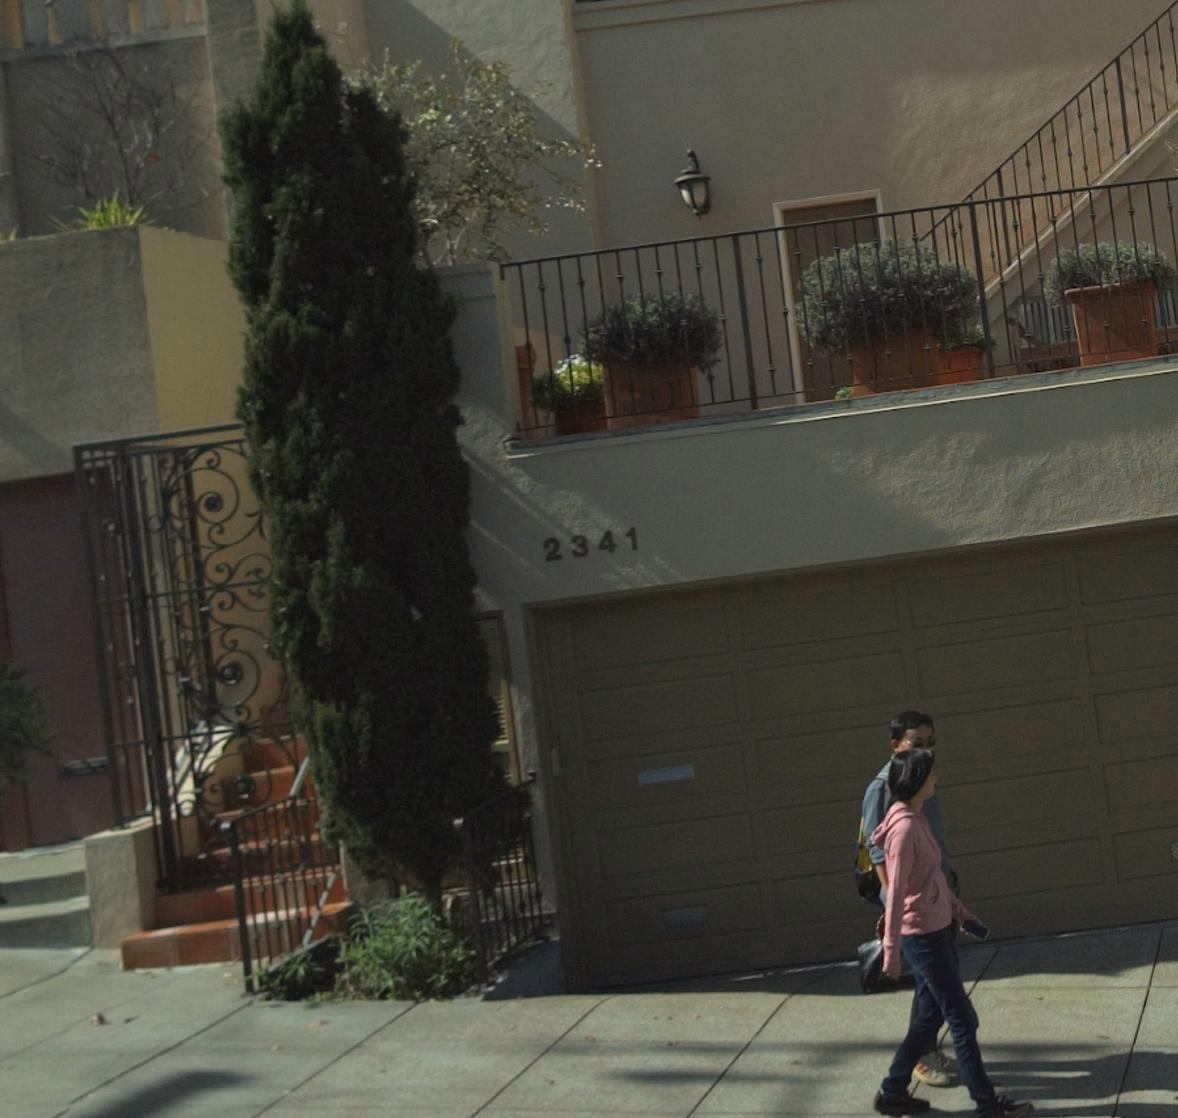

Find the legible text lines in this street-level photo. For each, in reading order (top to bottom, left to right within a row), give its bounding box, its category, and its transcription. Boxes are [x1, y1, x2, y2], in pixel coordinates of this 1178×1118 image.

[542, 525, 641, 564] StreetNumber: 2341